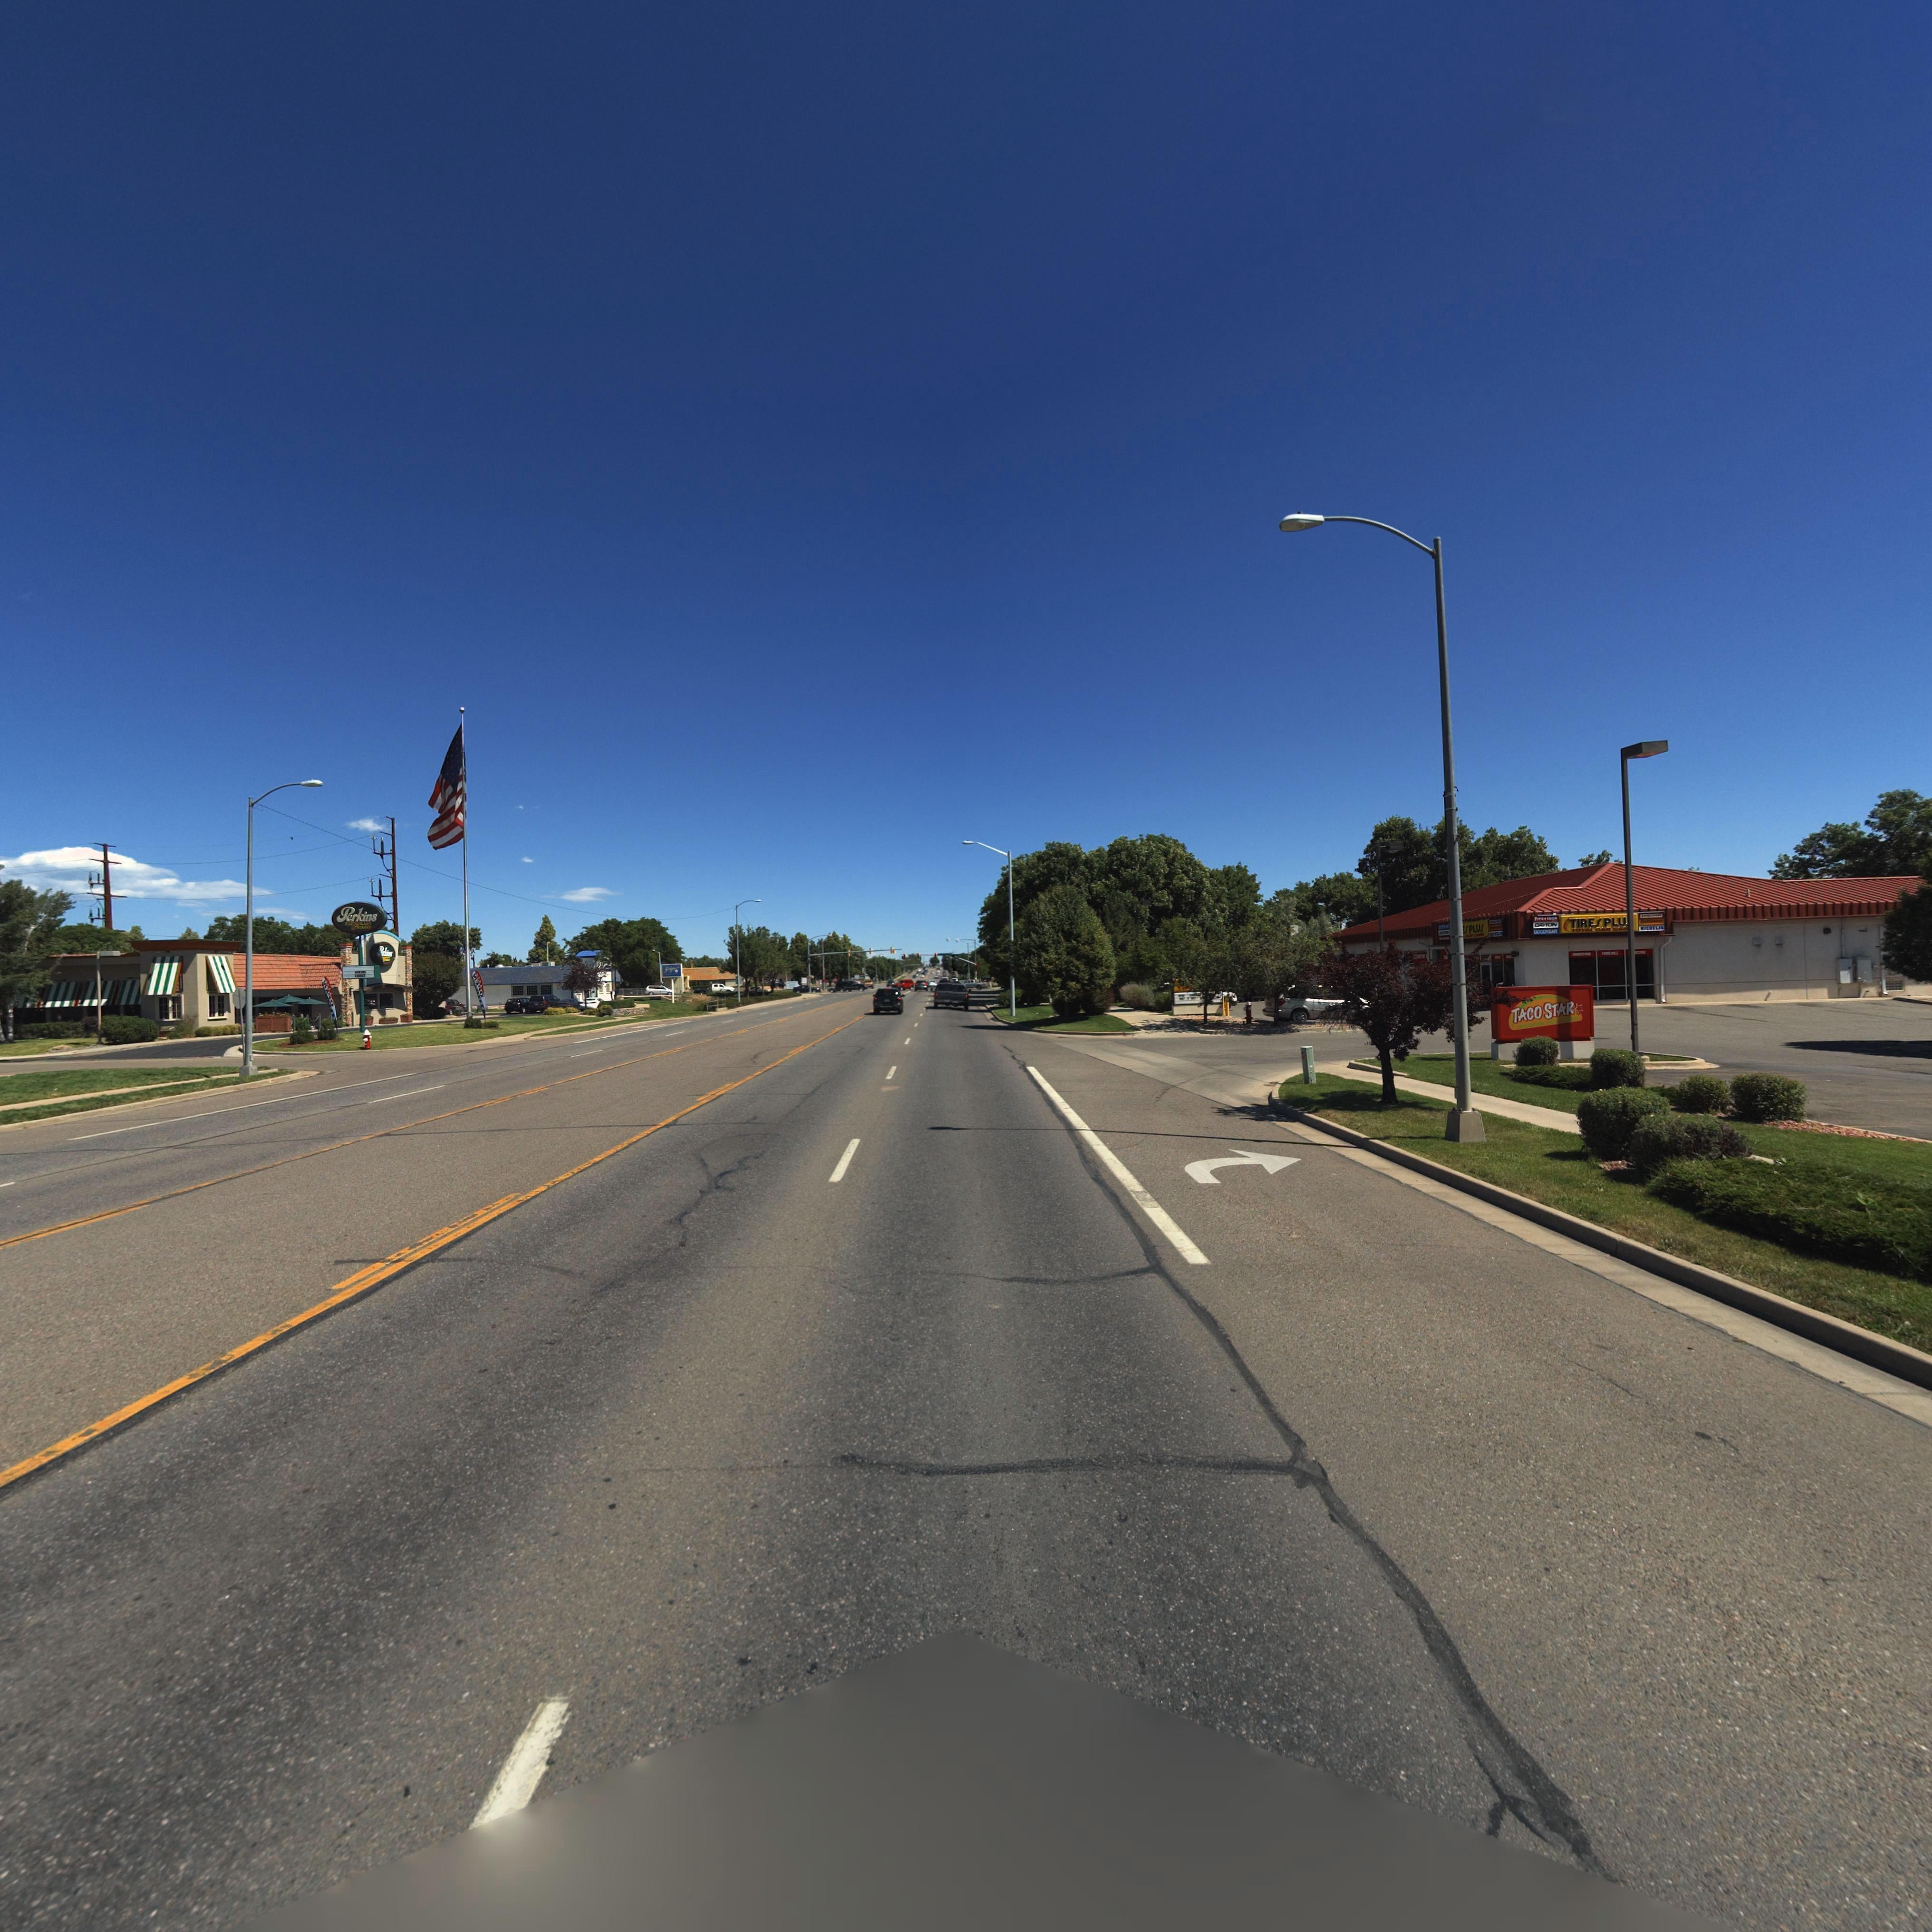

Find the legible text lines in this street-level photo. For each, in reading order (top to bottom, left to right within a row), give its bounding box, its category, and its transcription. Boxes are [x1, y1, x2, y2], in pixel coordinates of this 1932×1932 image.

[336, 906, 378, 923] BusinessName: Perkins
[1568, 916, 1626, 927] BusinessName: TIRES PLU
[1464, 923, 1484, 934] BusinessName: S PLUS
[376, 945, 393, 957] BusinessName: Perkins
[663, 966, 680, 974] BusinessName: S*****
[1509, 1000, 1575, 1024] BusinessName: TACOSTAR